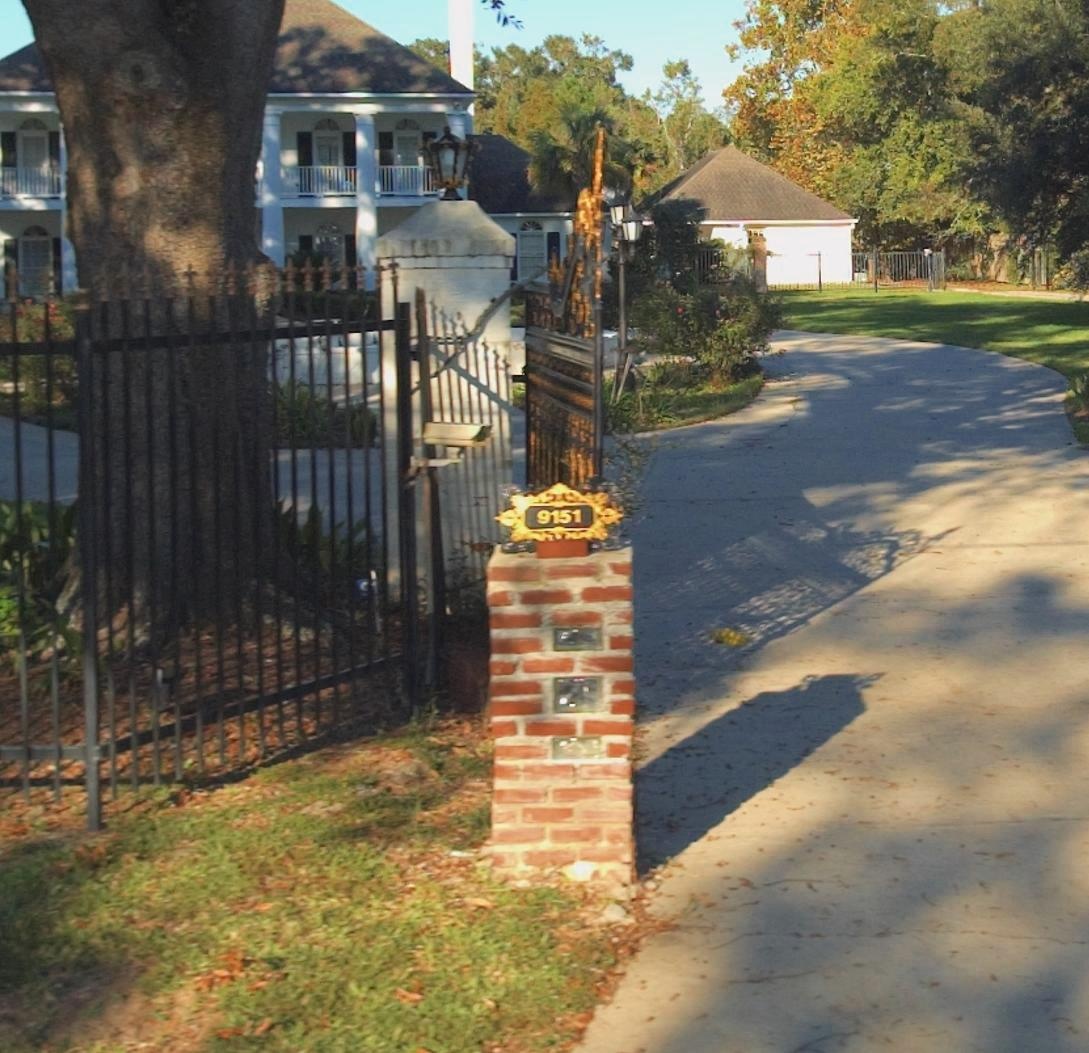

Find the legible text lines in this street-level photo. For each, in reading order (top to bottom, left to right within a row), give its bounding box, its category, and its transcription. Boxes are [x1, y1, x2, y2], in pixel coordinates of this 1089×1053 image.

[536, 508, 582, 525] StreetNumber: 9151